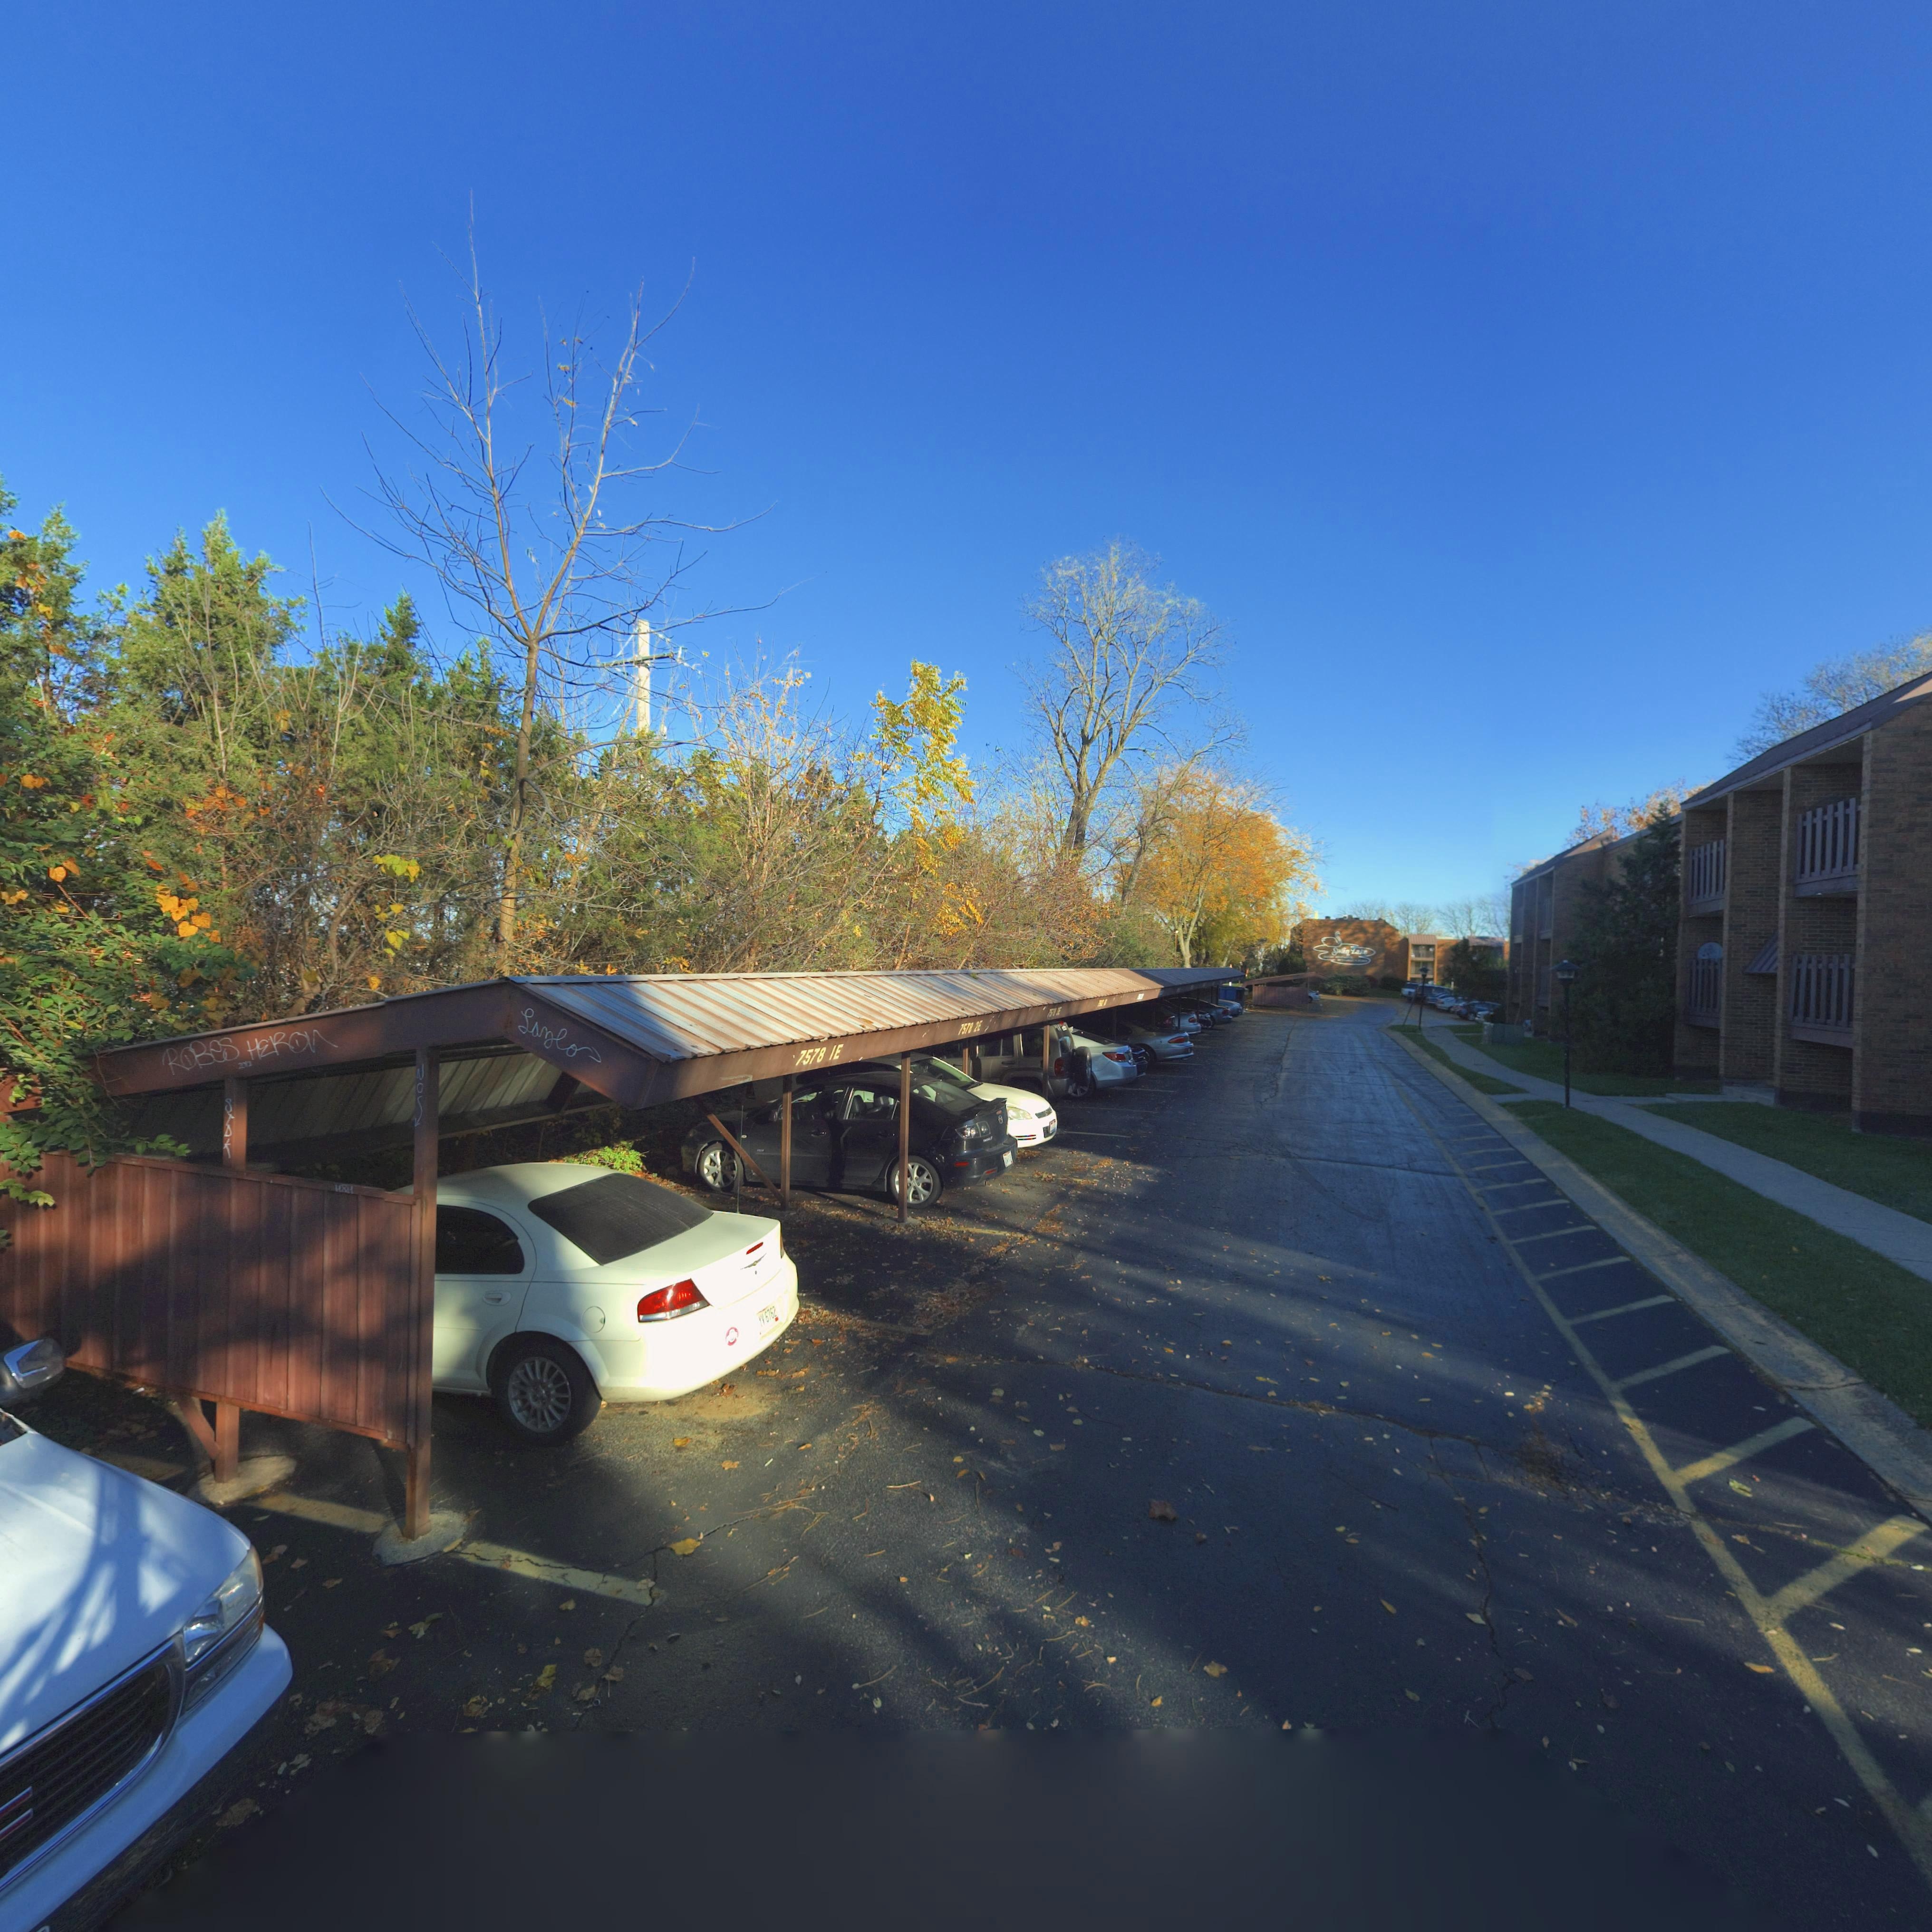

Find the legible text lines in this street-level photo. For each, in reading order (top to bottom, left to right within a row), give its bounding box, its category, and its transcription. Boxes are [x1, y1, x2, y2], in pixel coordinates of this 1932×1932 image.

[1097, 999, 1105, 1007] StreetNumber: 7***
[1046, 1007, 1057, 1018] StreetNumber: 75**
[957, 1022, 974, 1036] StreetNumber: 7578
[794, 1046, 827, 1066] StreetNumber: 7578